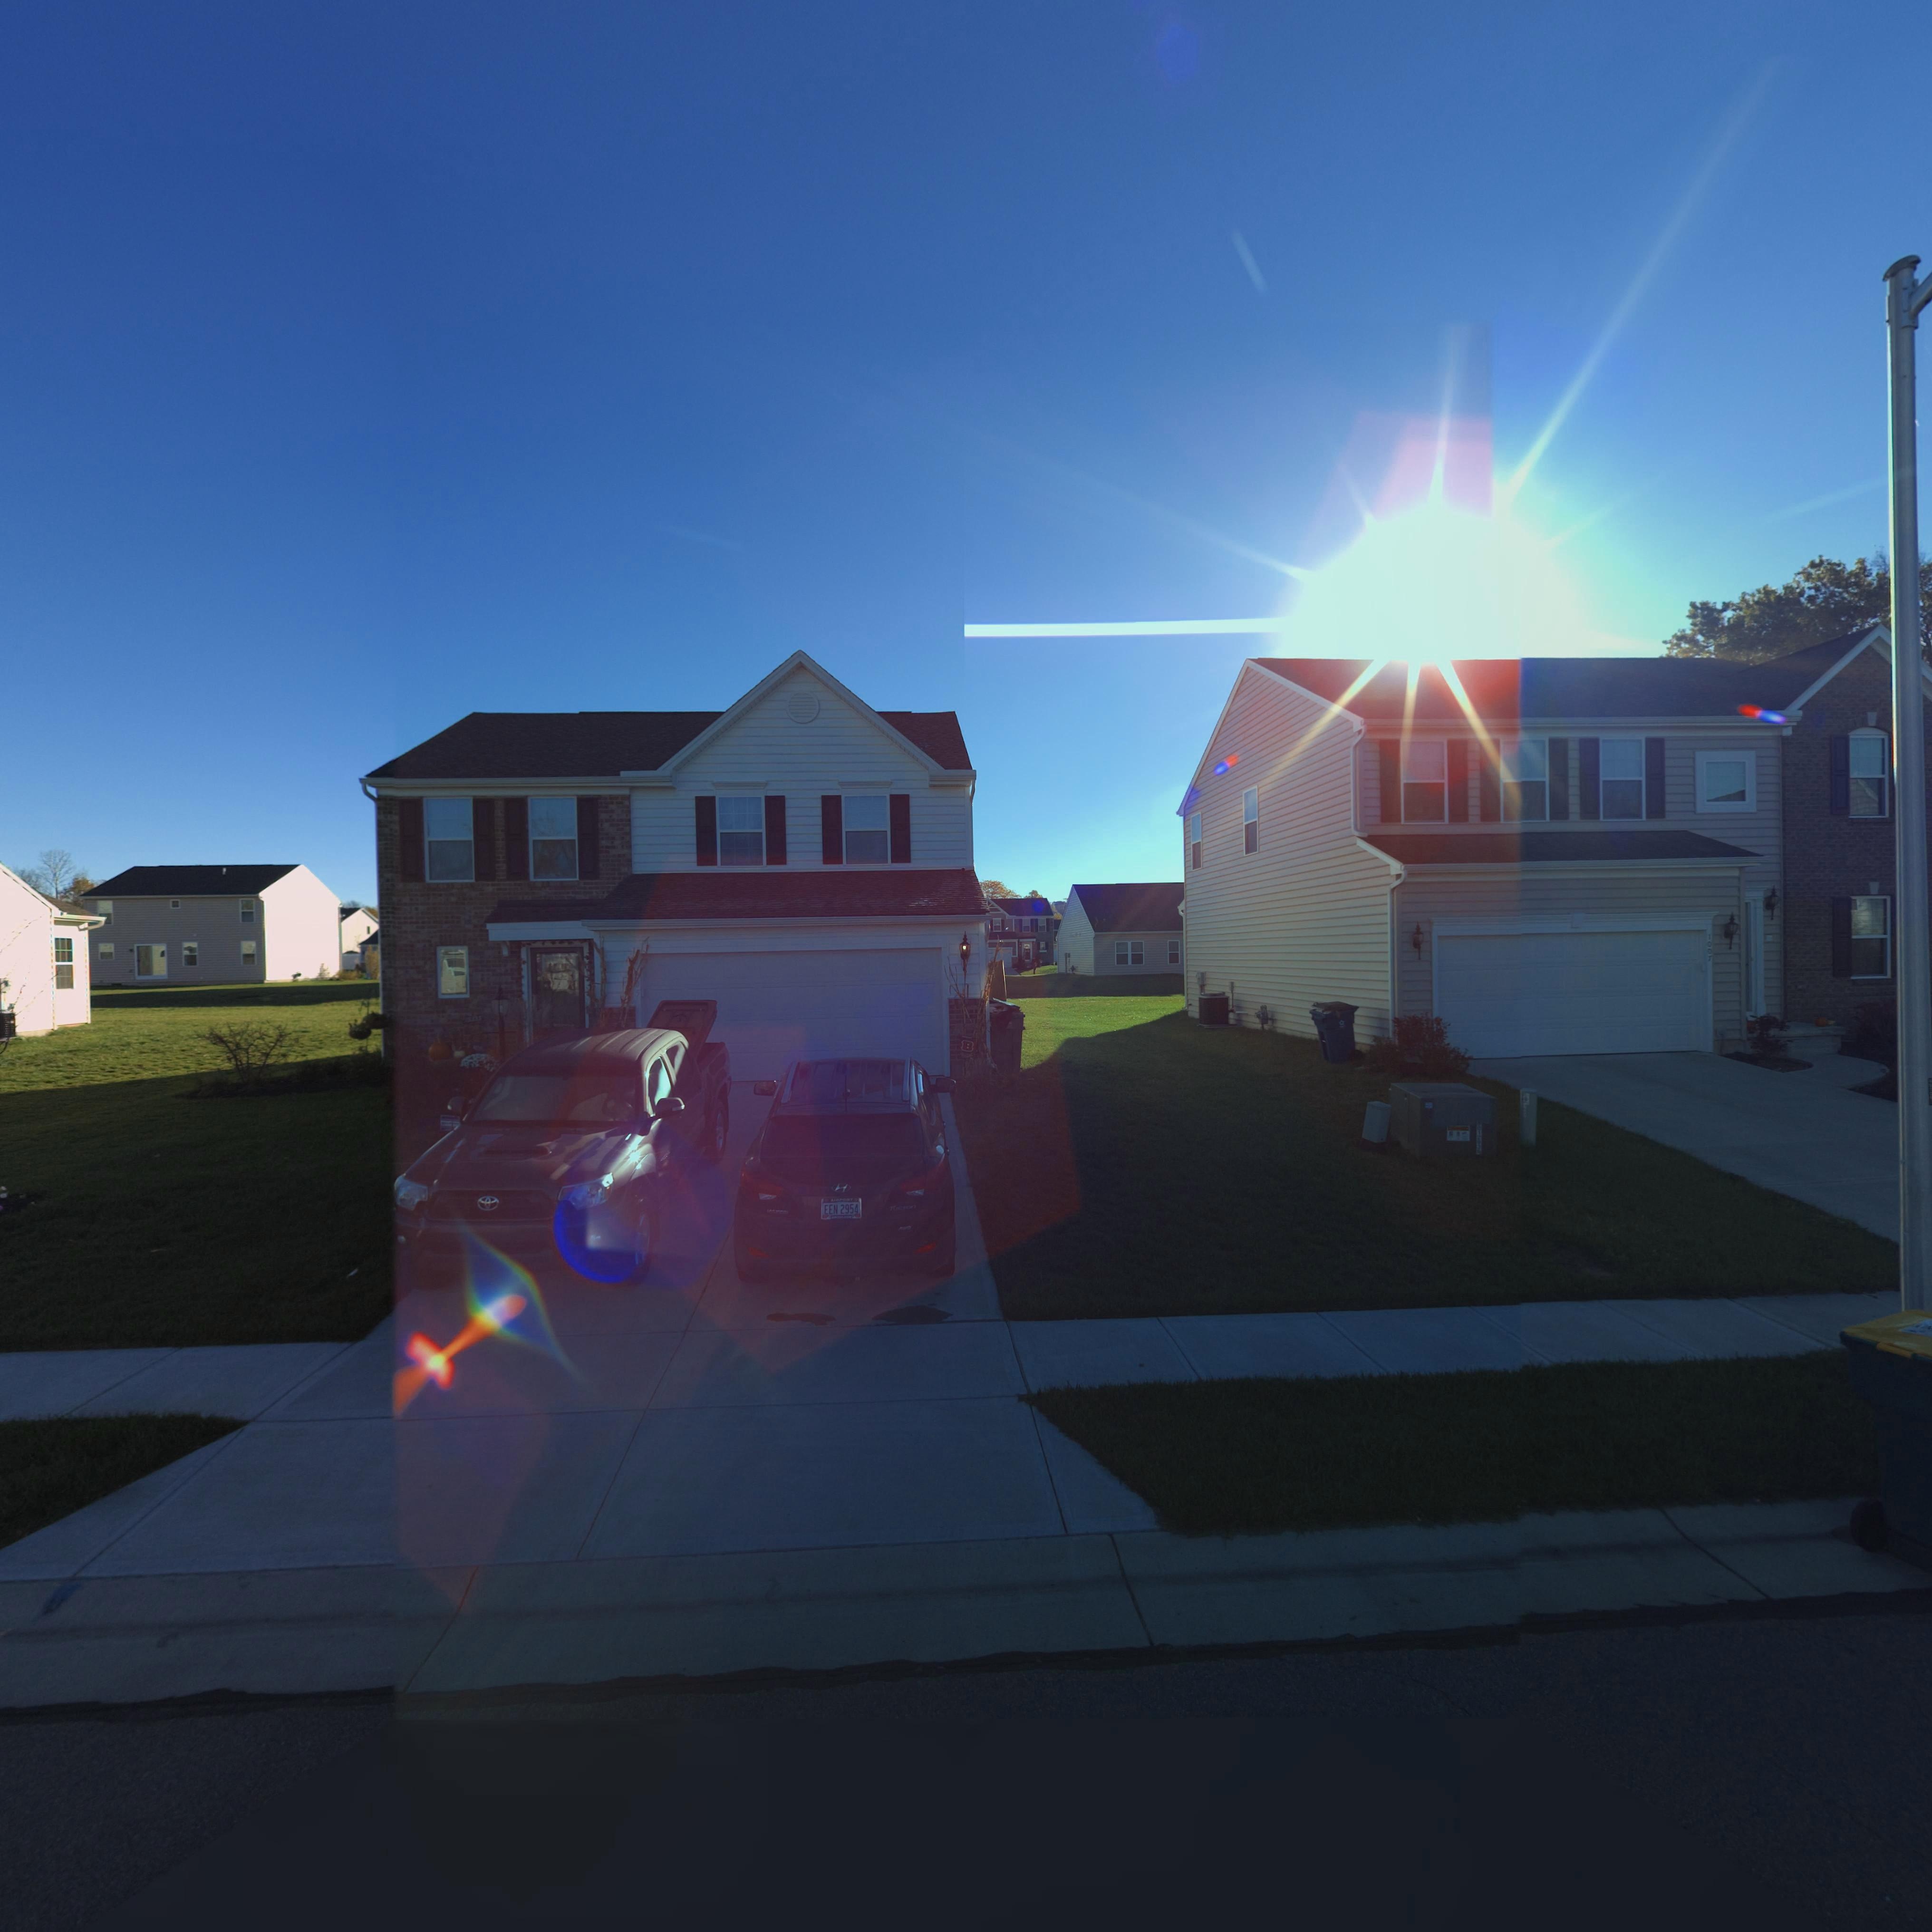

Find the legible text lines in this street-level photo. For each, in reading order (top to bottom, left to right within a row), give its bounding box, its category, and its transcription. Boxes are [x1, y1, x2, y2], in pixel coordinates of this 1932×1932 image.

[1707, 933, 1713, 962] StreetNumber: 1007